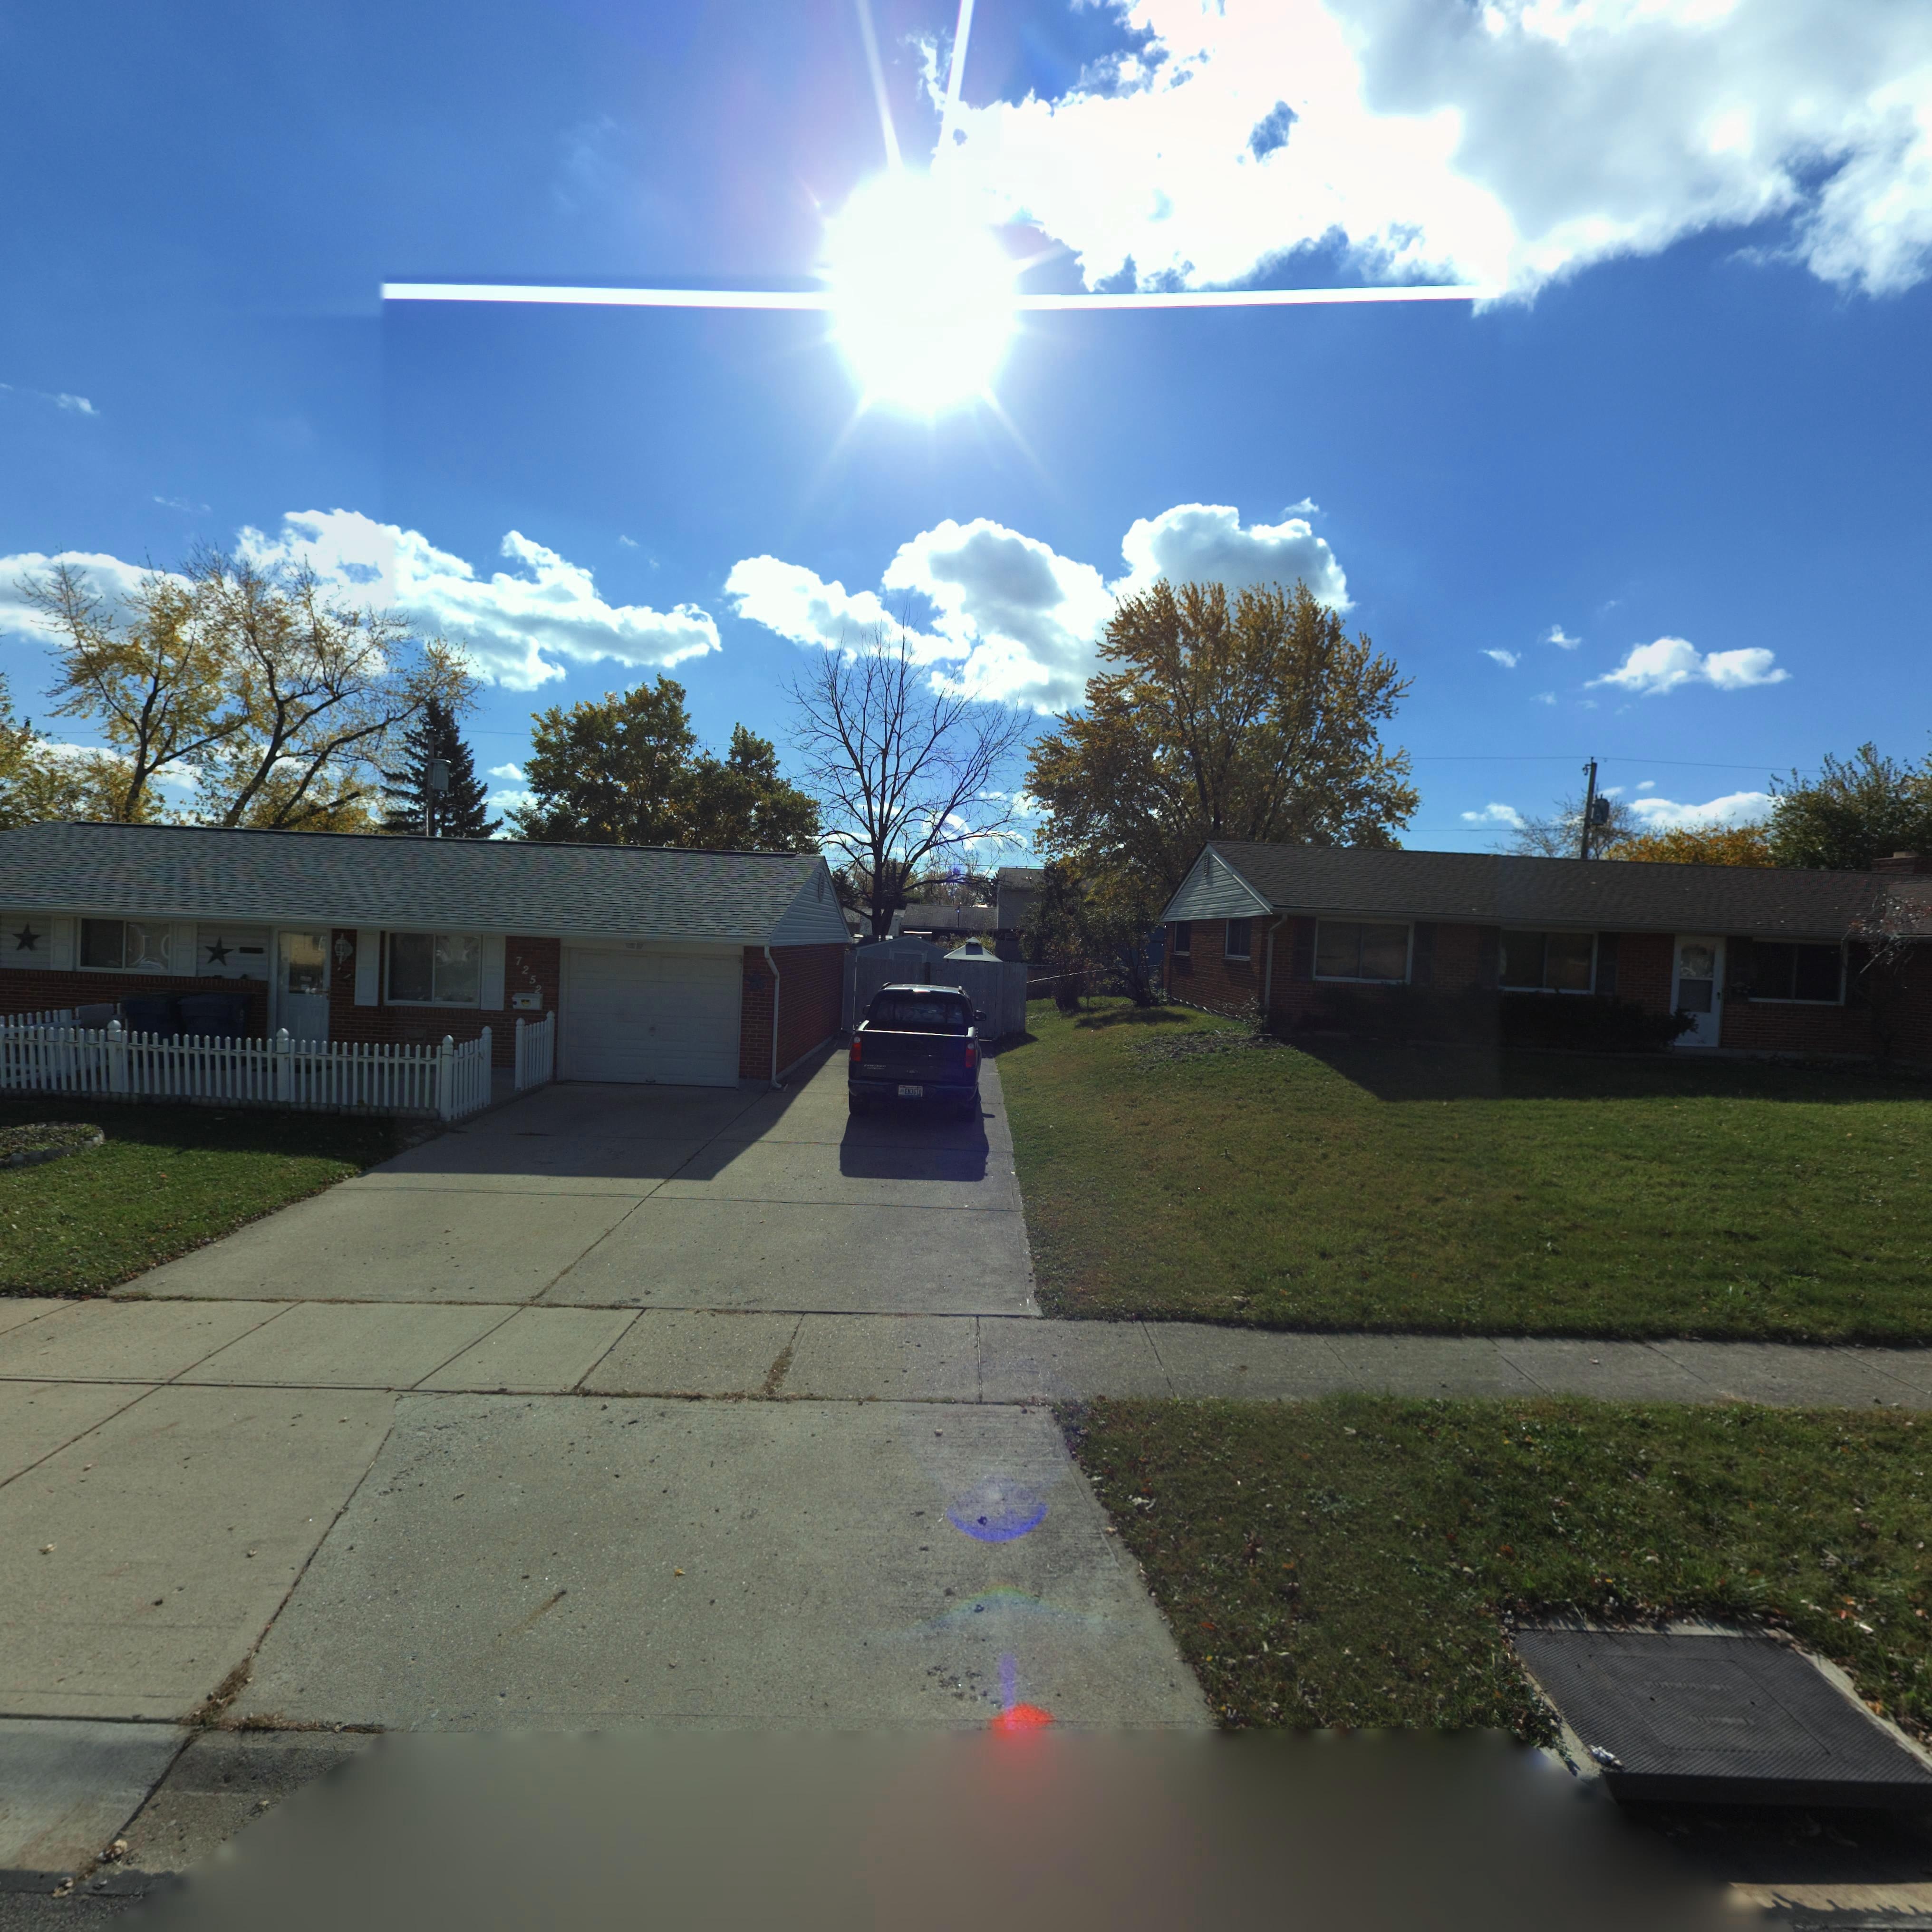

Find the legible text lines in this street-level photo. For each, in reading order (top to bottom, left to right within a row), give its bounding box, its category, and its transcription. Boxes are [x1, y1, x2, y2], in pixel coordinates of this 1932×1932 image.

[515, 956, 543, 995] StreetNumber: 7252